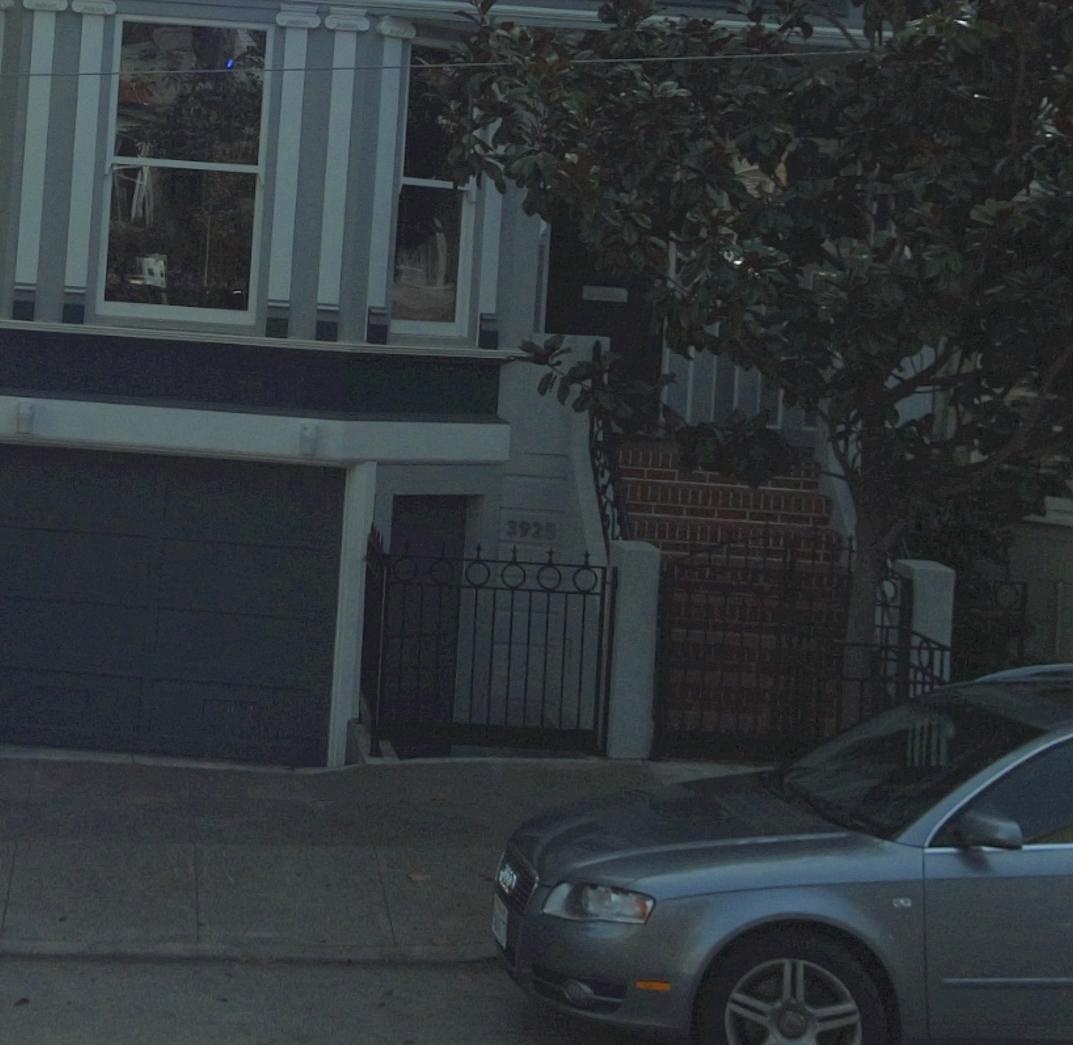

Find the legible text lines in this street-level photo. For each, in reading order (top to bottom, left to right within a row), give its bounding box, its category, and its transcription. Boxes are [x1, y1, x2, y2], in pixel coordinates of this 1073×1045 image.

[505, 519, 557, 540] StreetNumber: 3925